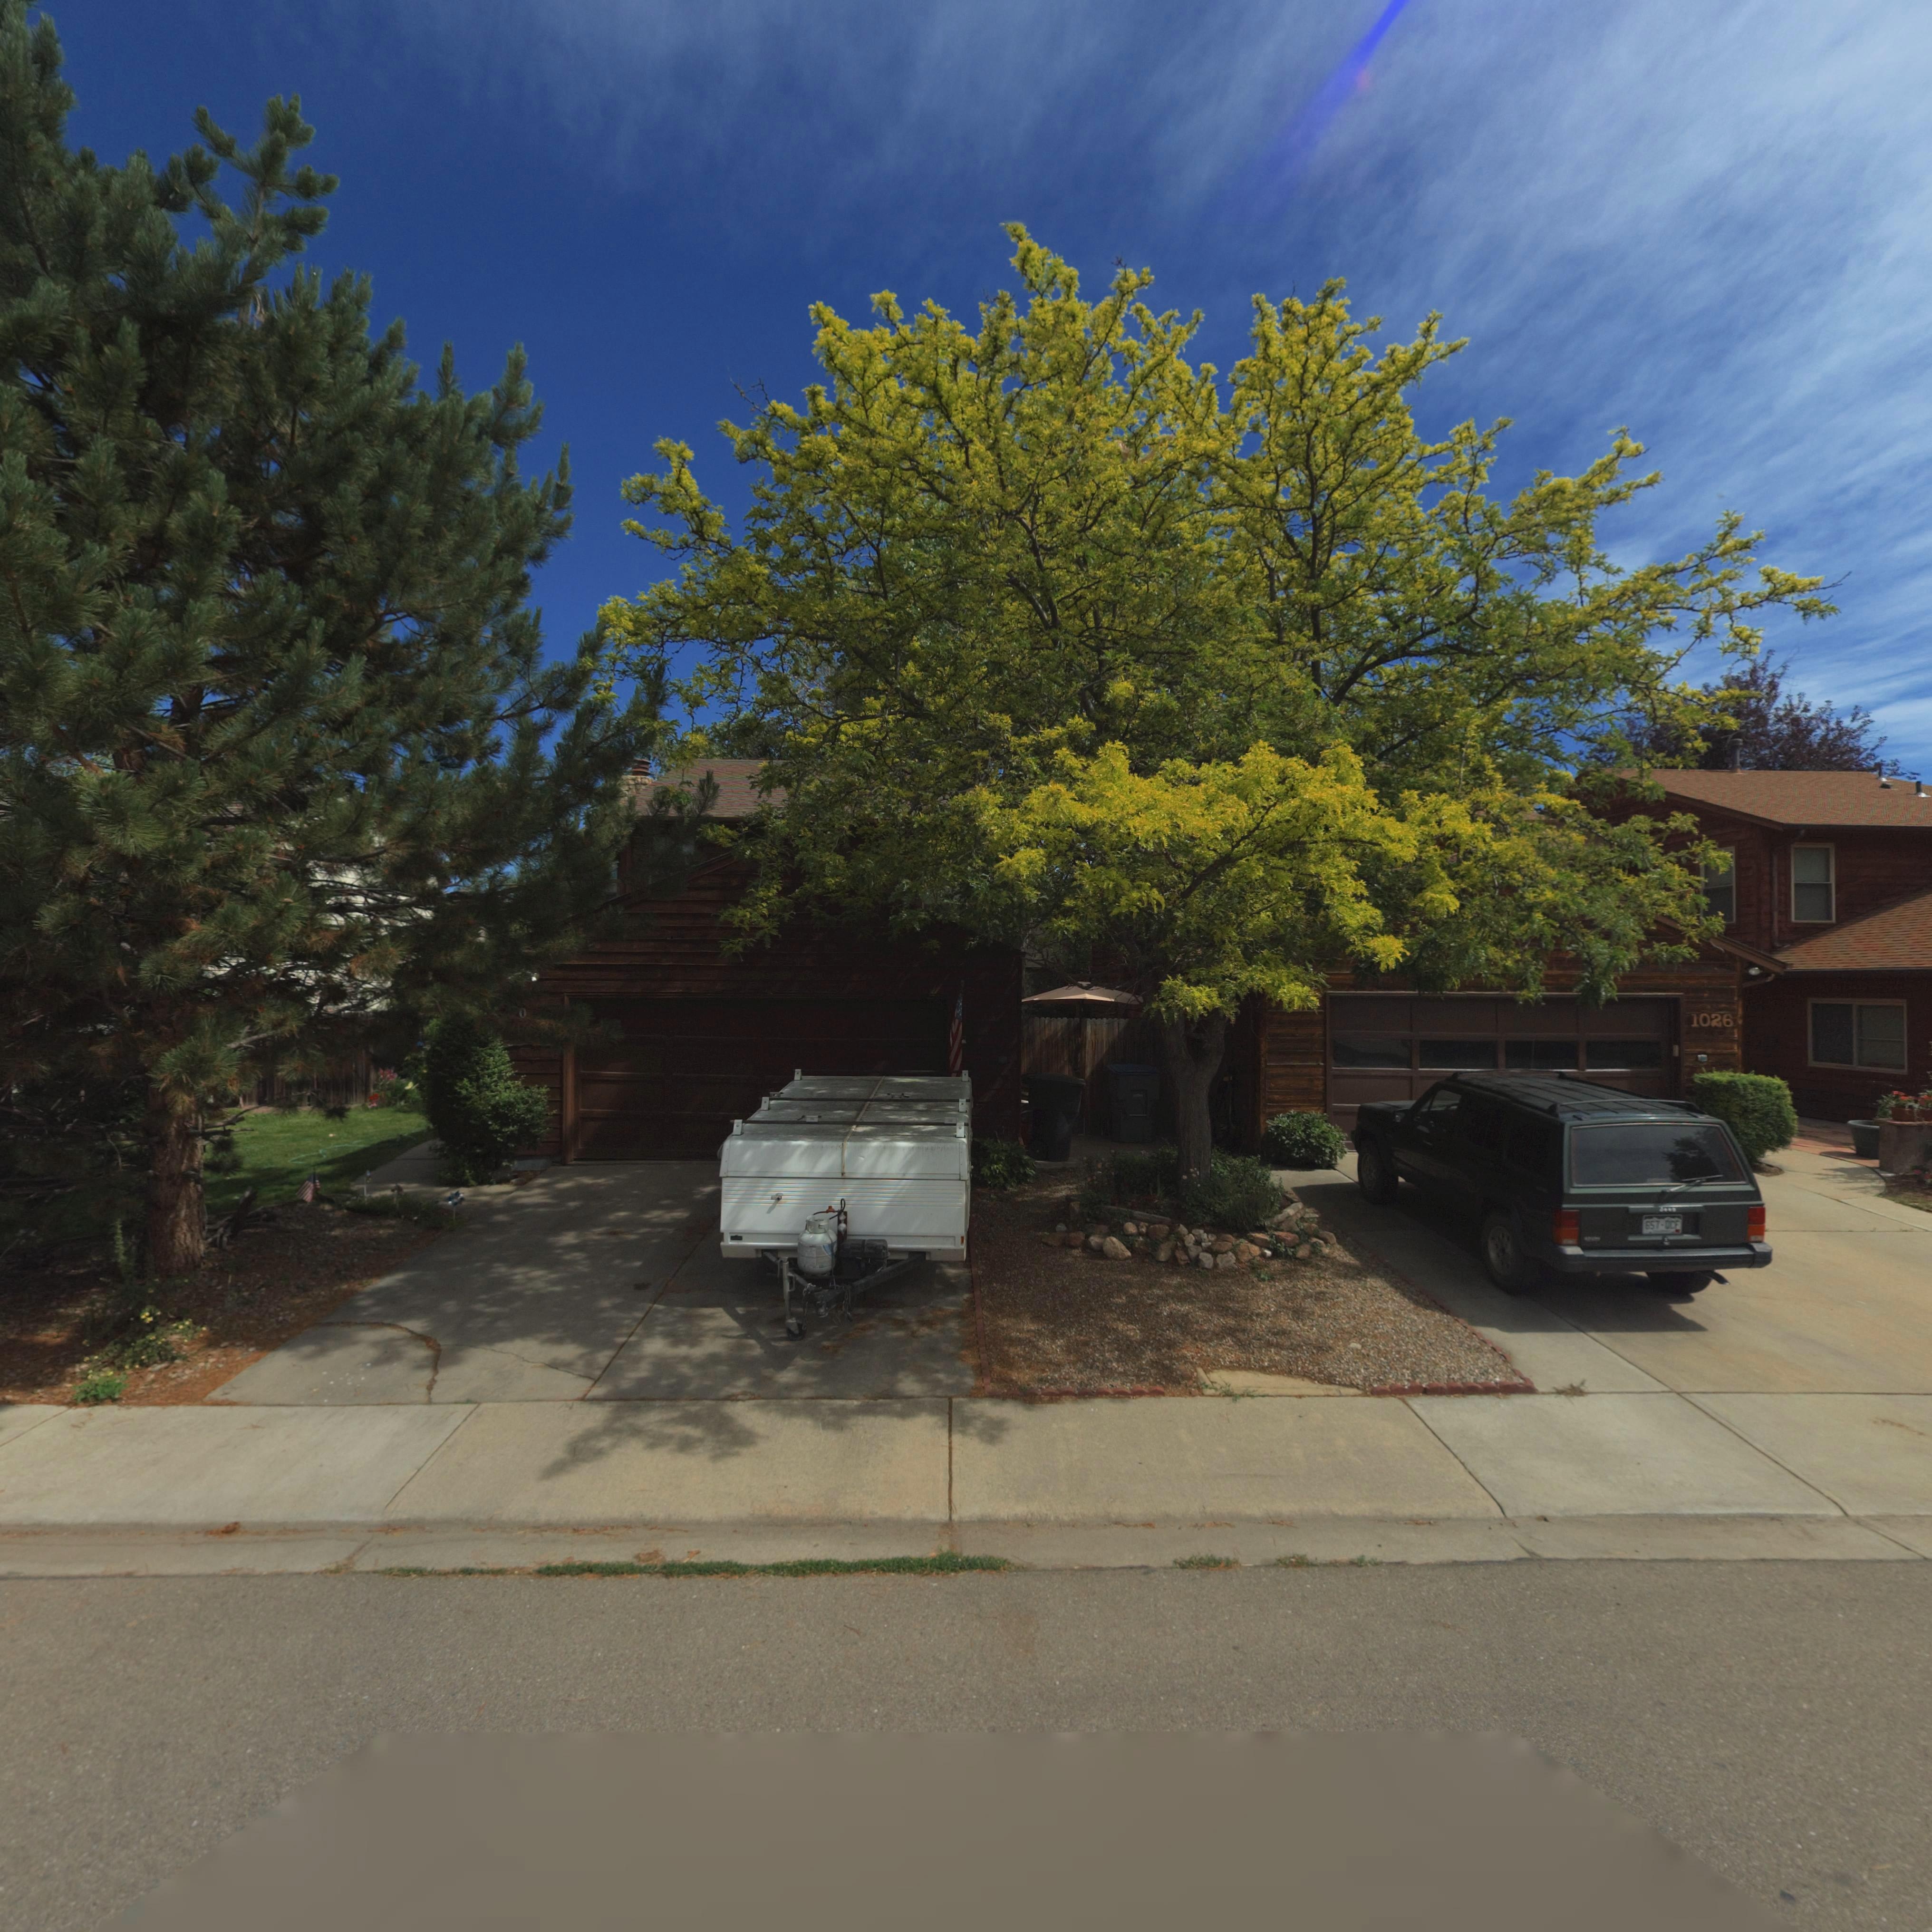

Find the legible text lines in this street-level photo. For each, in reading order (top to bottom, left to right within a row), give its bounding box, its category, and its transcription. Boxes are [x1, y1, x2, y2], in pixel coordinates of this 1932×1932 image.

[519, 1007, 526, 1018] StreetNumber: ***0
[1691, 1013, 1733, 1027] StreetNumber: 1026